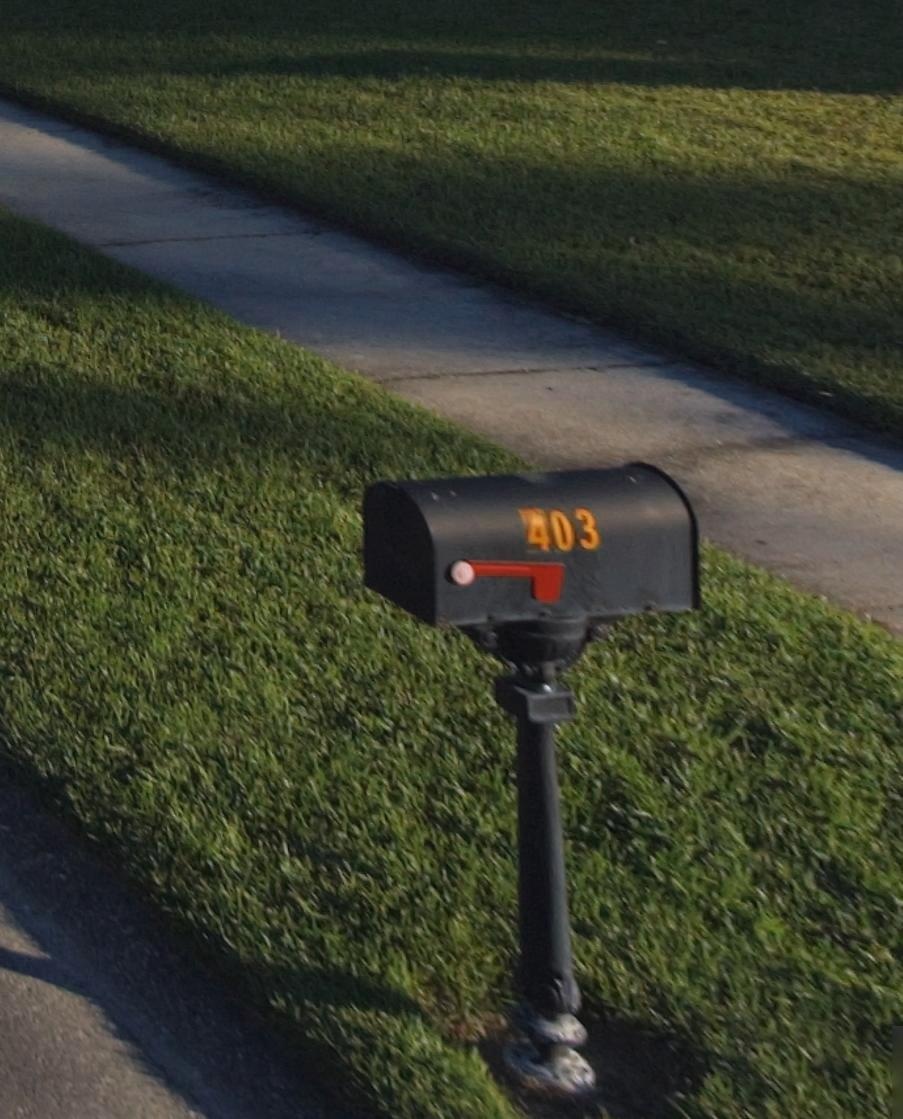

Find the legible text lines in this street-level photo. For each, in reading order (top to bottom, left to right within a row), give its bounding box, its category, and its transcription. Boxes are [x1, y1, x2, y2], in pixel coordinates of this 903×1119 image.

[523, 505, 608, 555] StreetNumber: 409